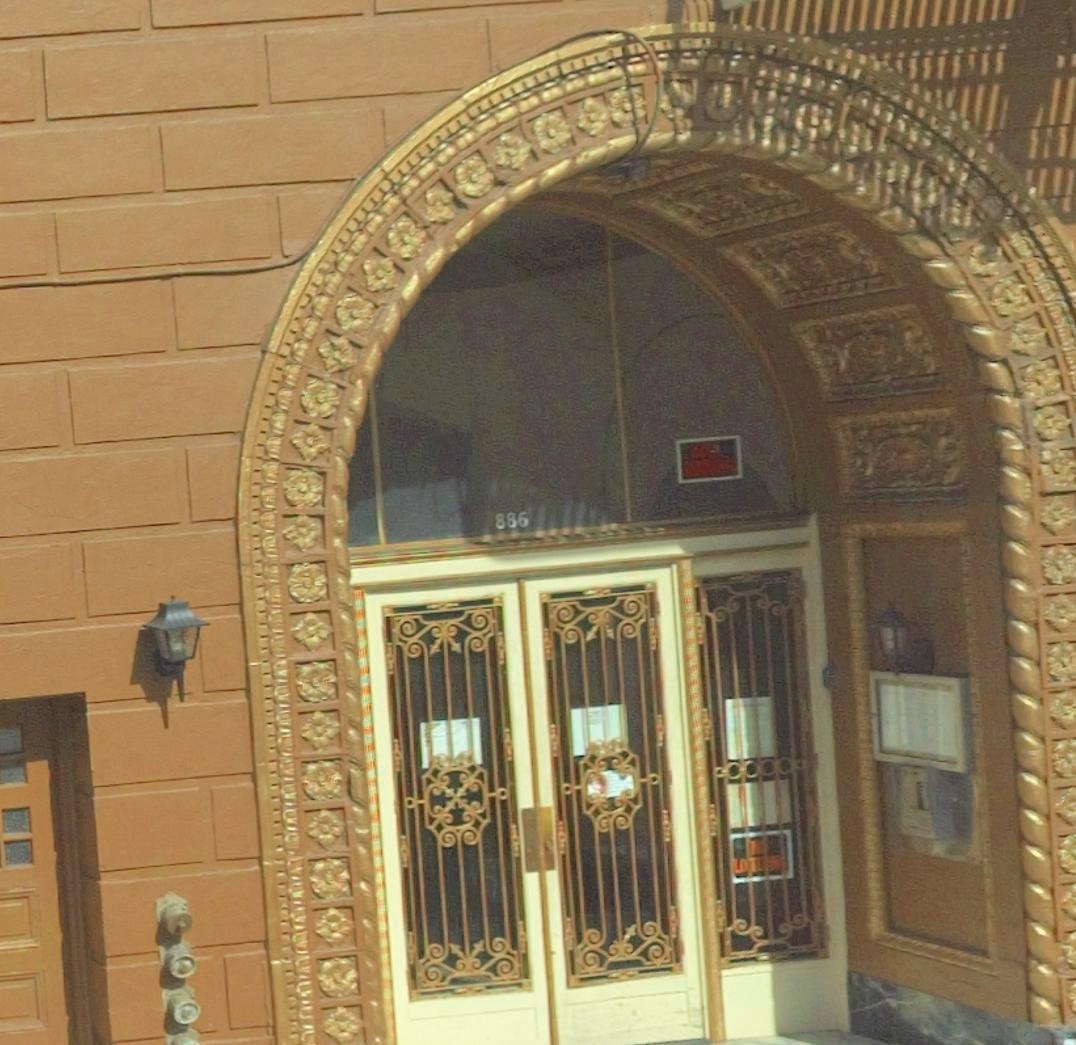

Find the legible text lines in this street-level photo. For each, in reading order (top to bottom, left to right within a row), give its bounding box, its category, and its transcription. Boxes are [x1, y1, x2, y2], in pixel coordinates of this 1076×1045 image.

[492, 508, 531, 532] StreetNumber: 886
[729, 855, 767, 877] None: LO*TE